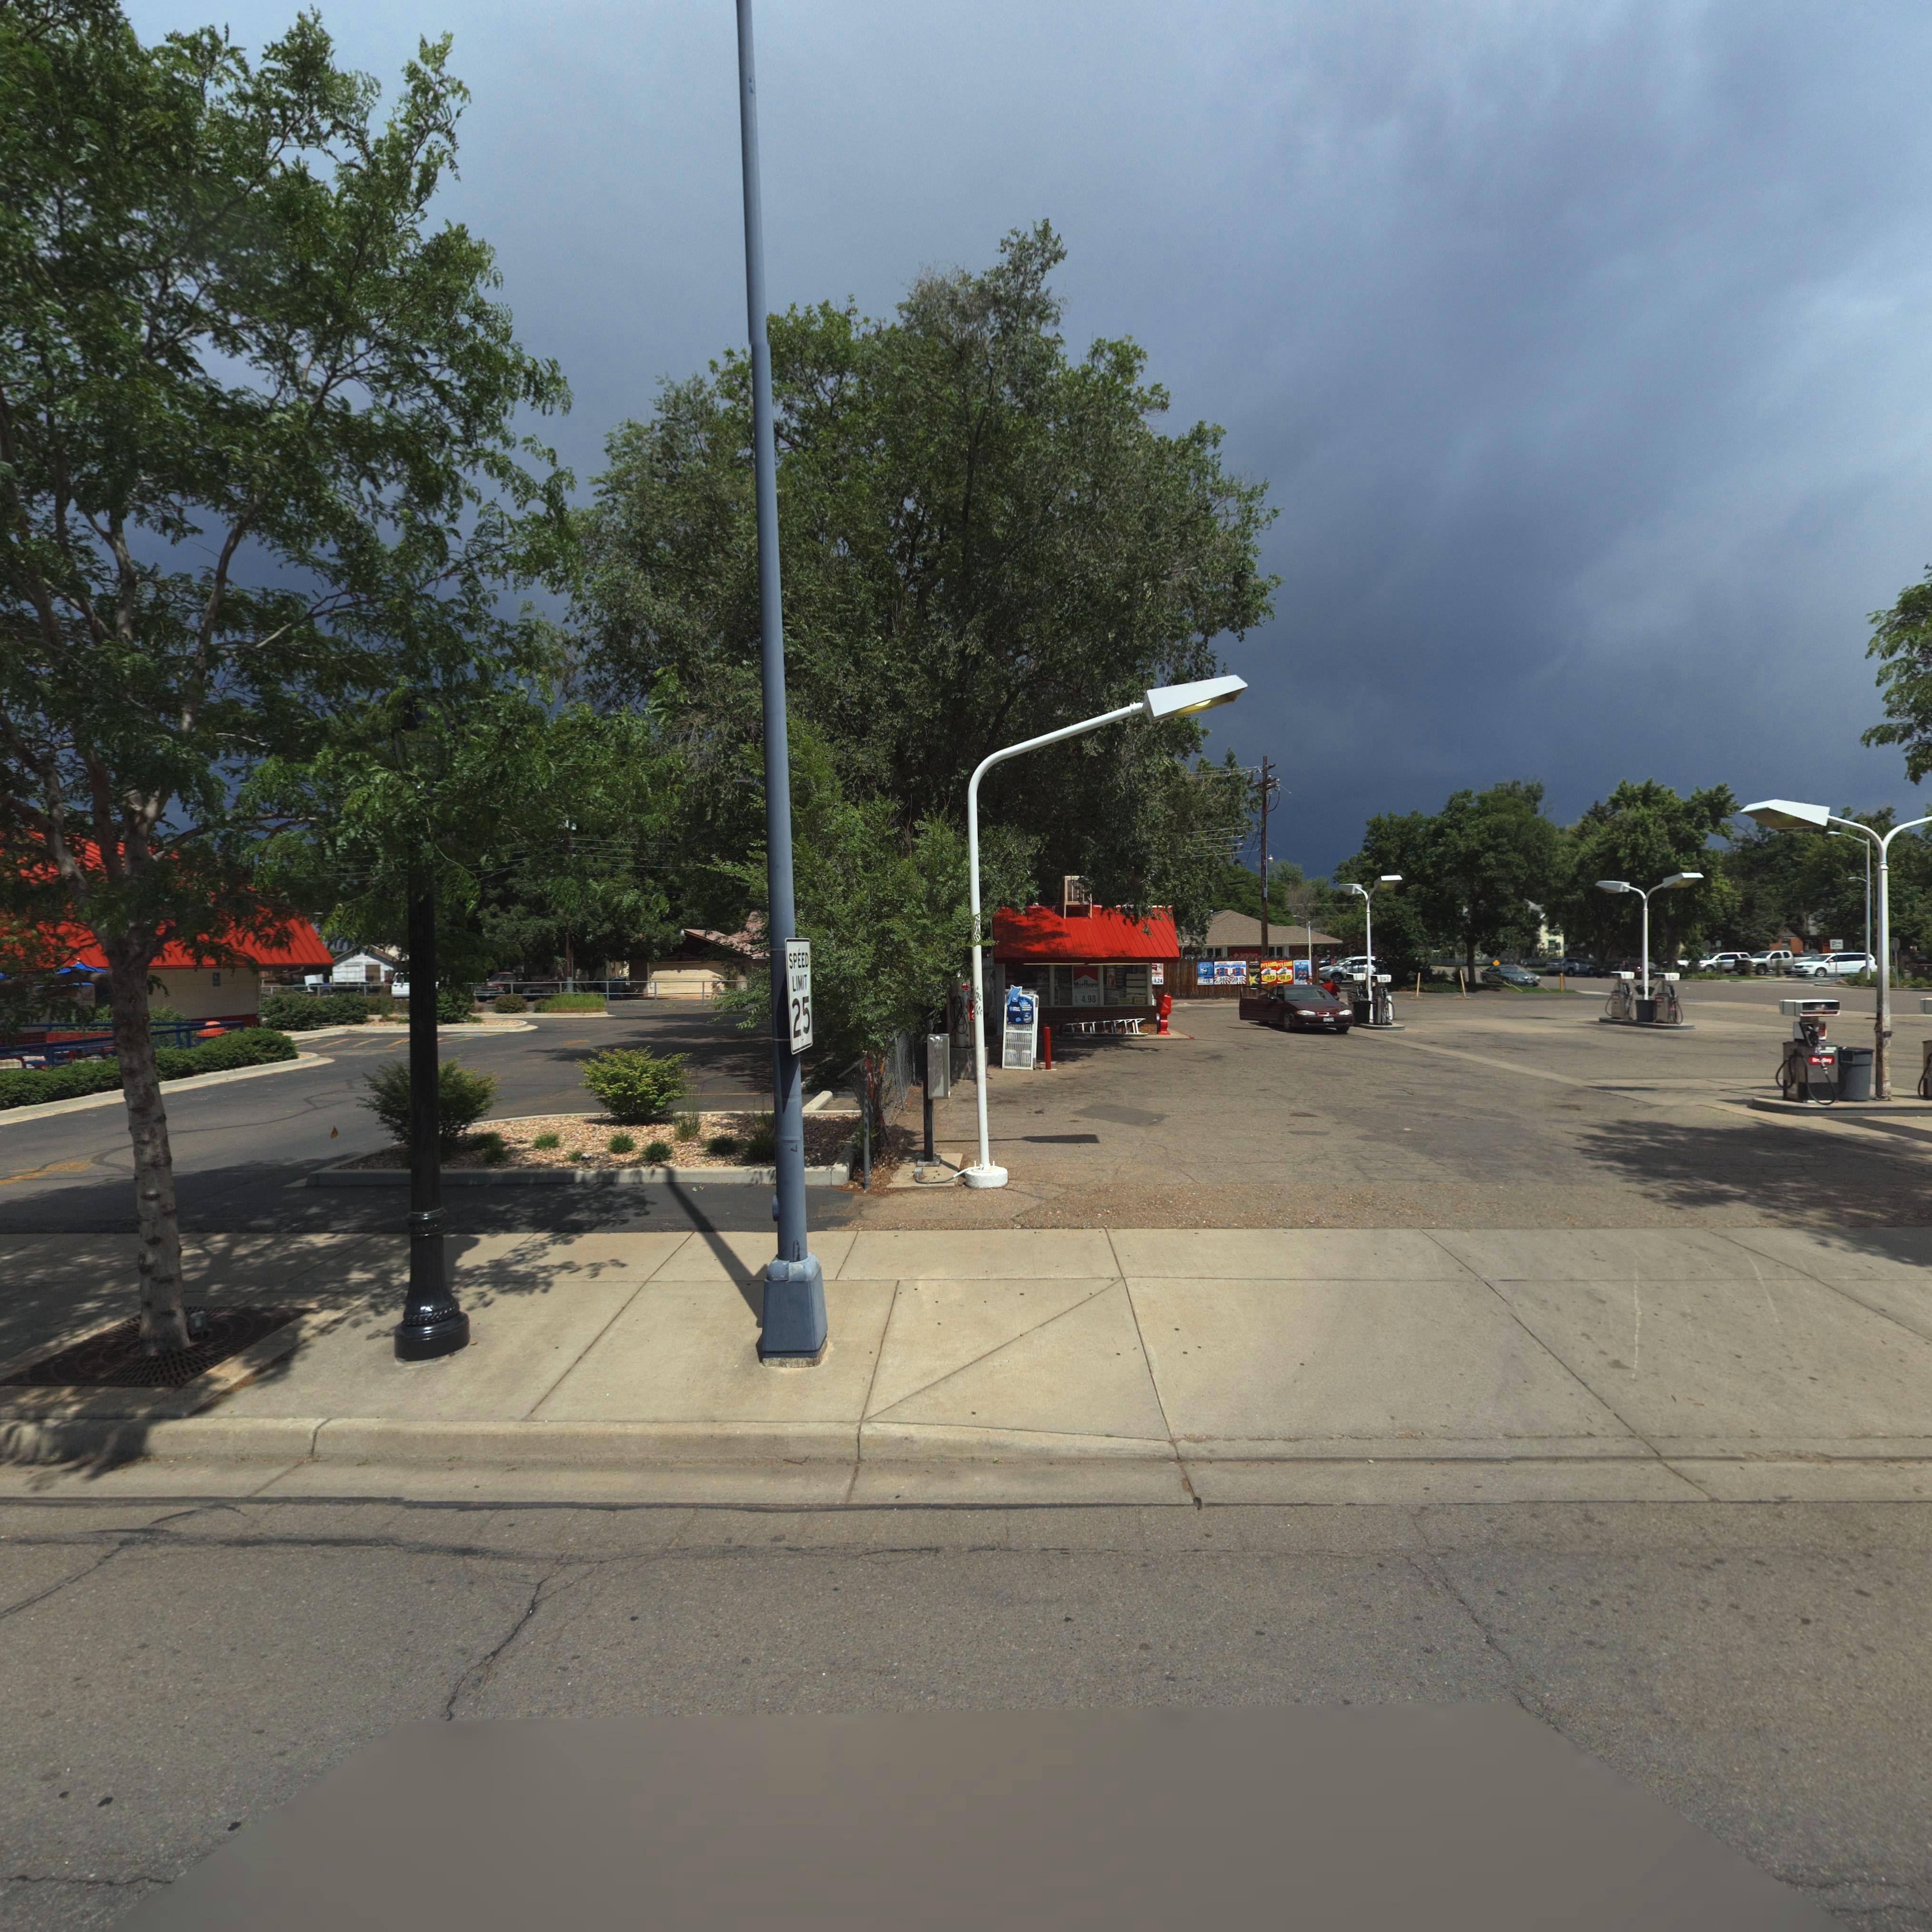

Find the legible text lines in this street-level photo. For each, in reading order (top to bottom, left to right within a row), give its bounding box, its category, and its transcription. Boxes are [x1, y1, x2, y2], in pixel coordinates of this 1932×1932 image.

[1238, 952, 1258, 957] BusinessName: S***e F***